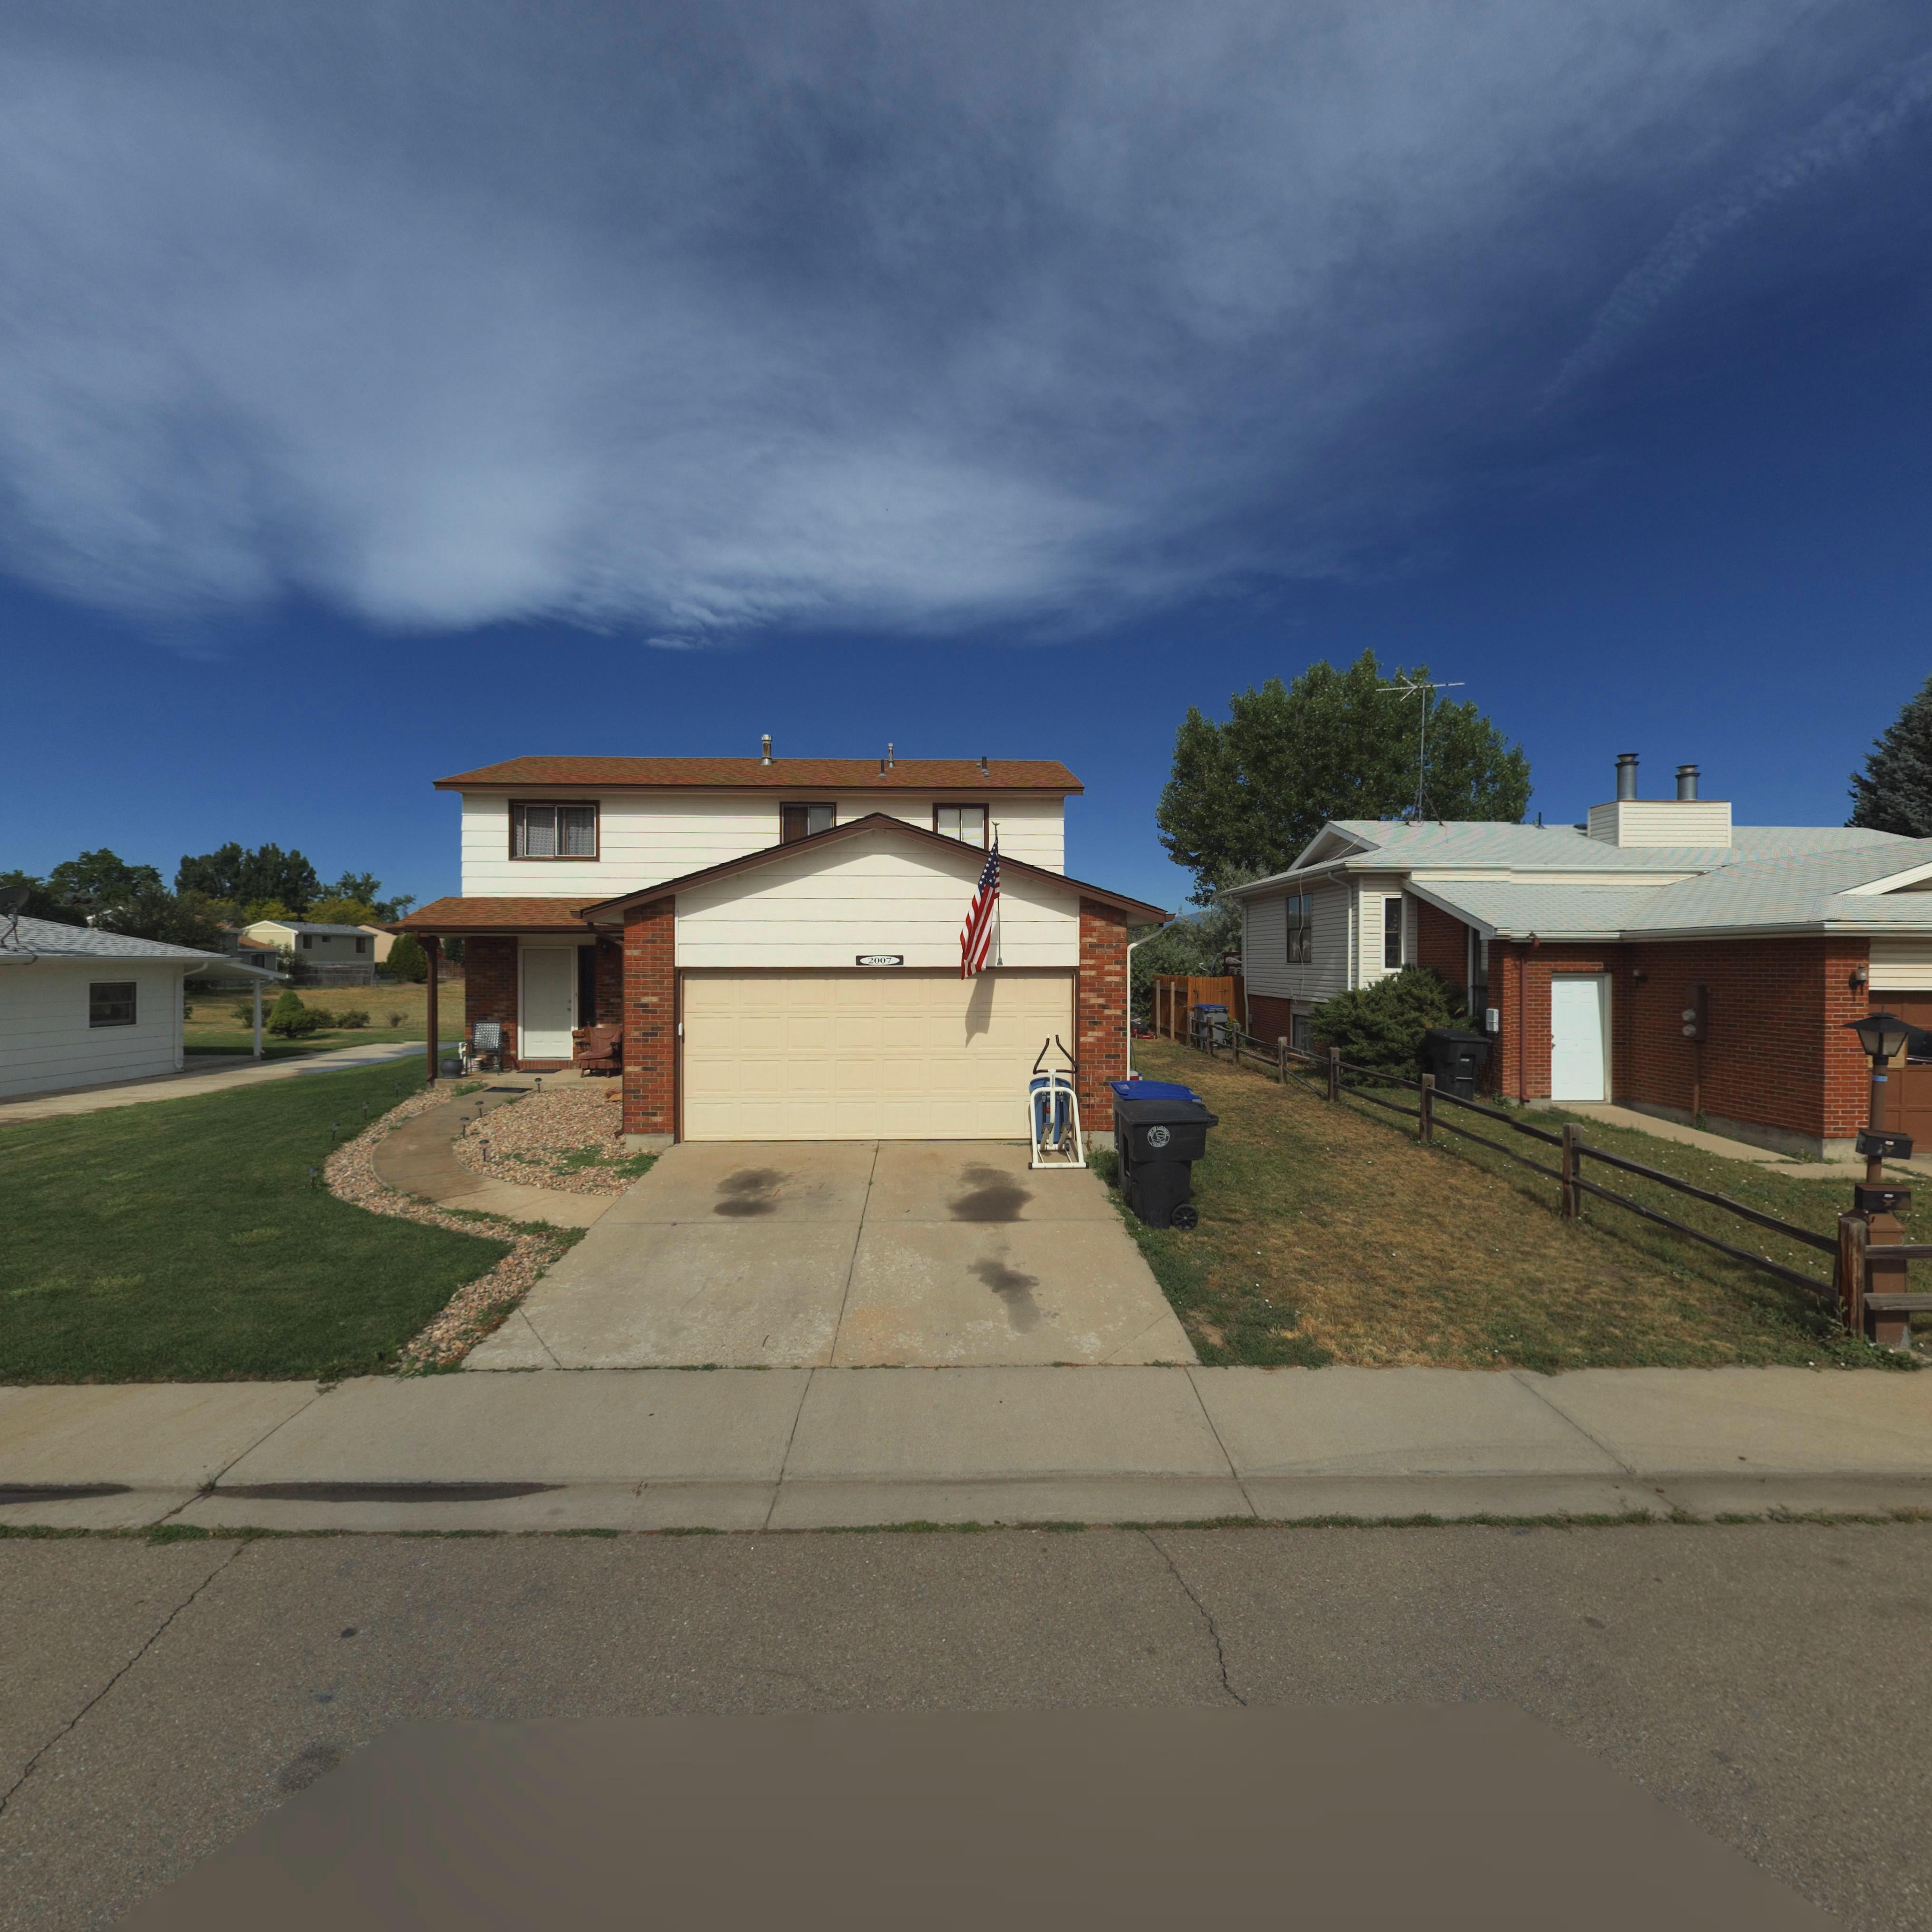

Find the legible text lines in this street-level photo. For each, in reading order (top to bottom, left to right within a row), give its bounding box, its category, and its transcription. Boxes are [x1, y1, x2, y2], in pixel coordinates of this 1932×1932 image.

[868, 957, 891, 964] StreetNumber: 2007